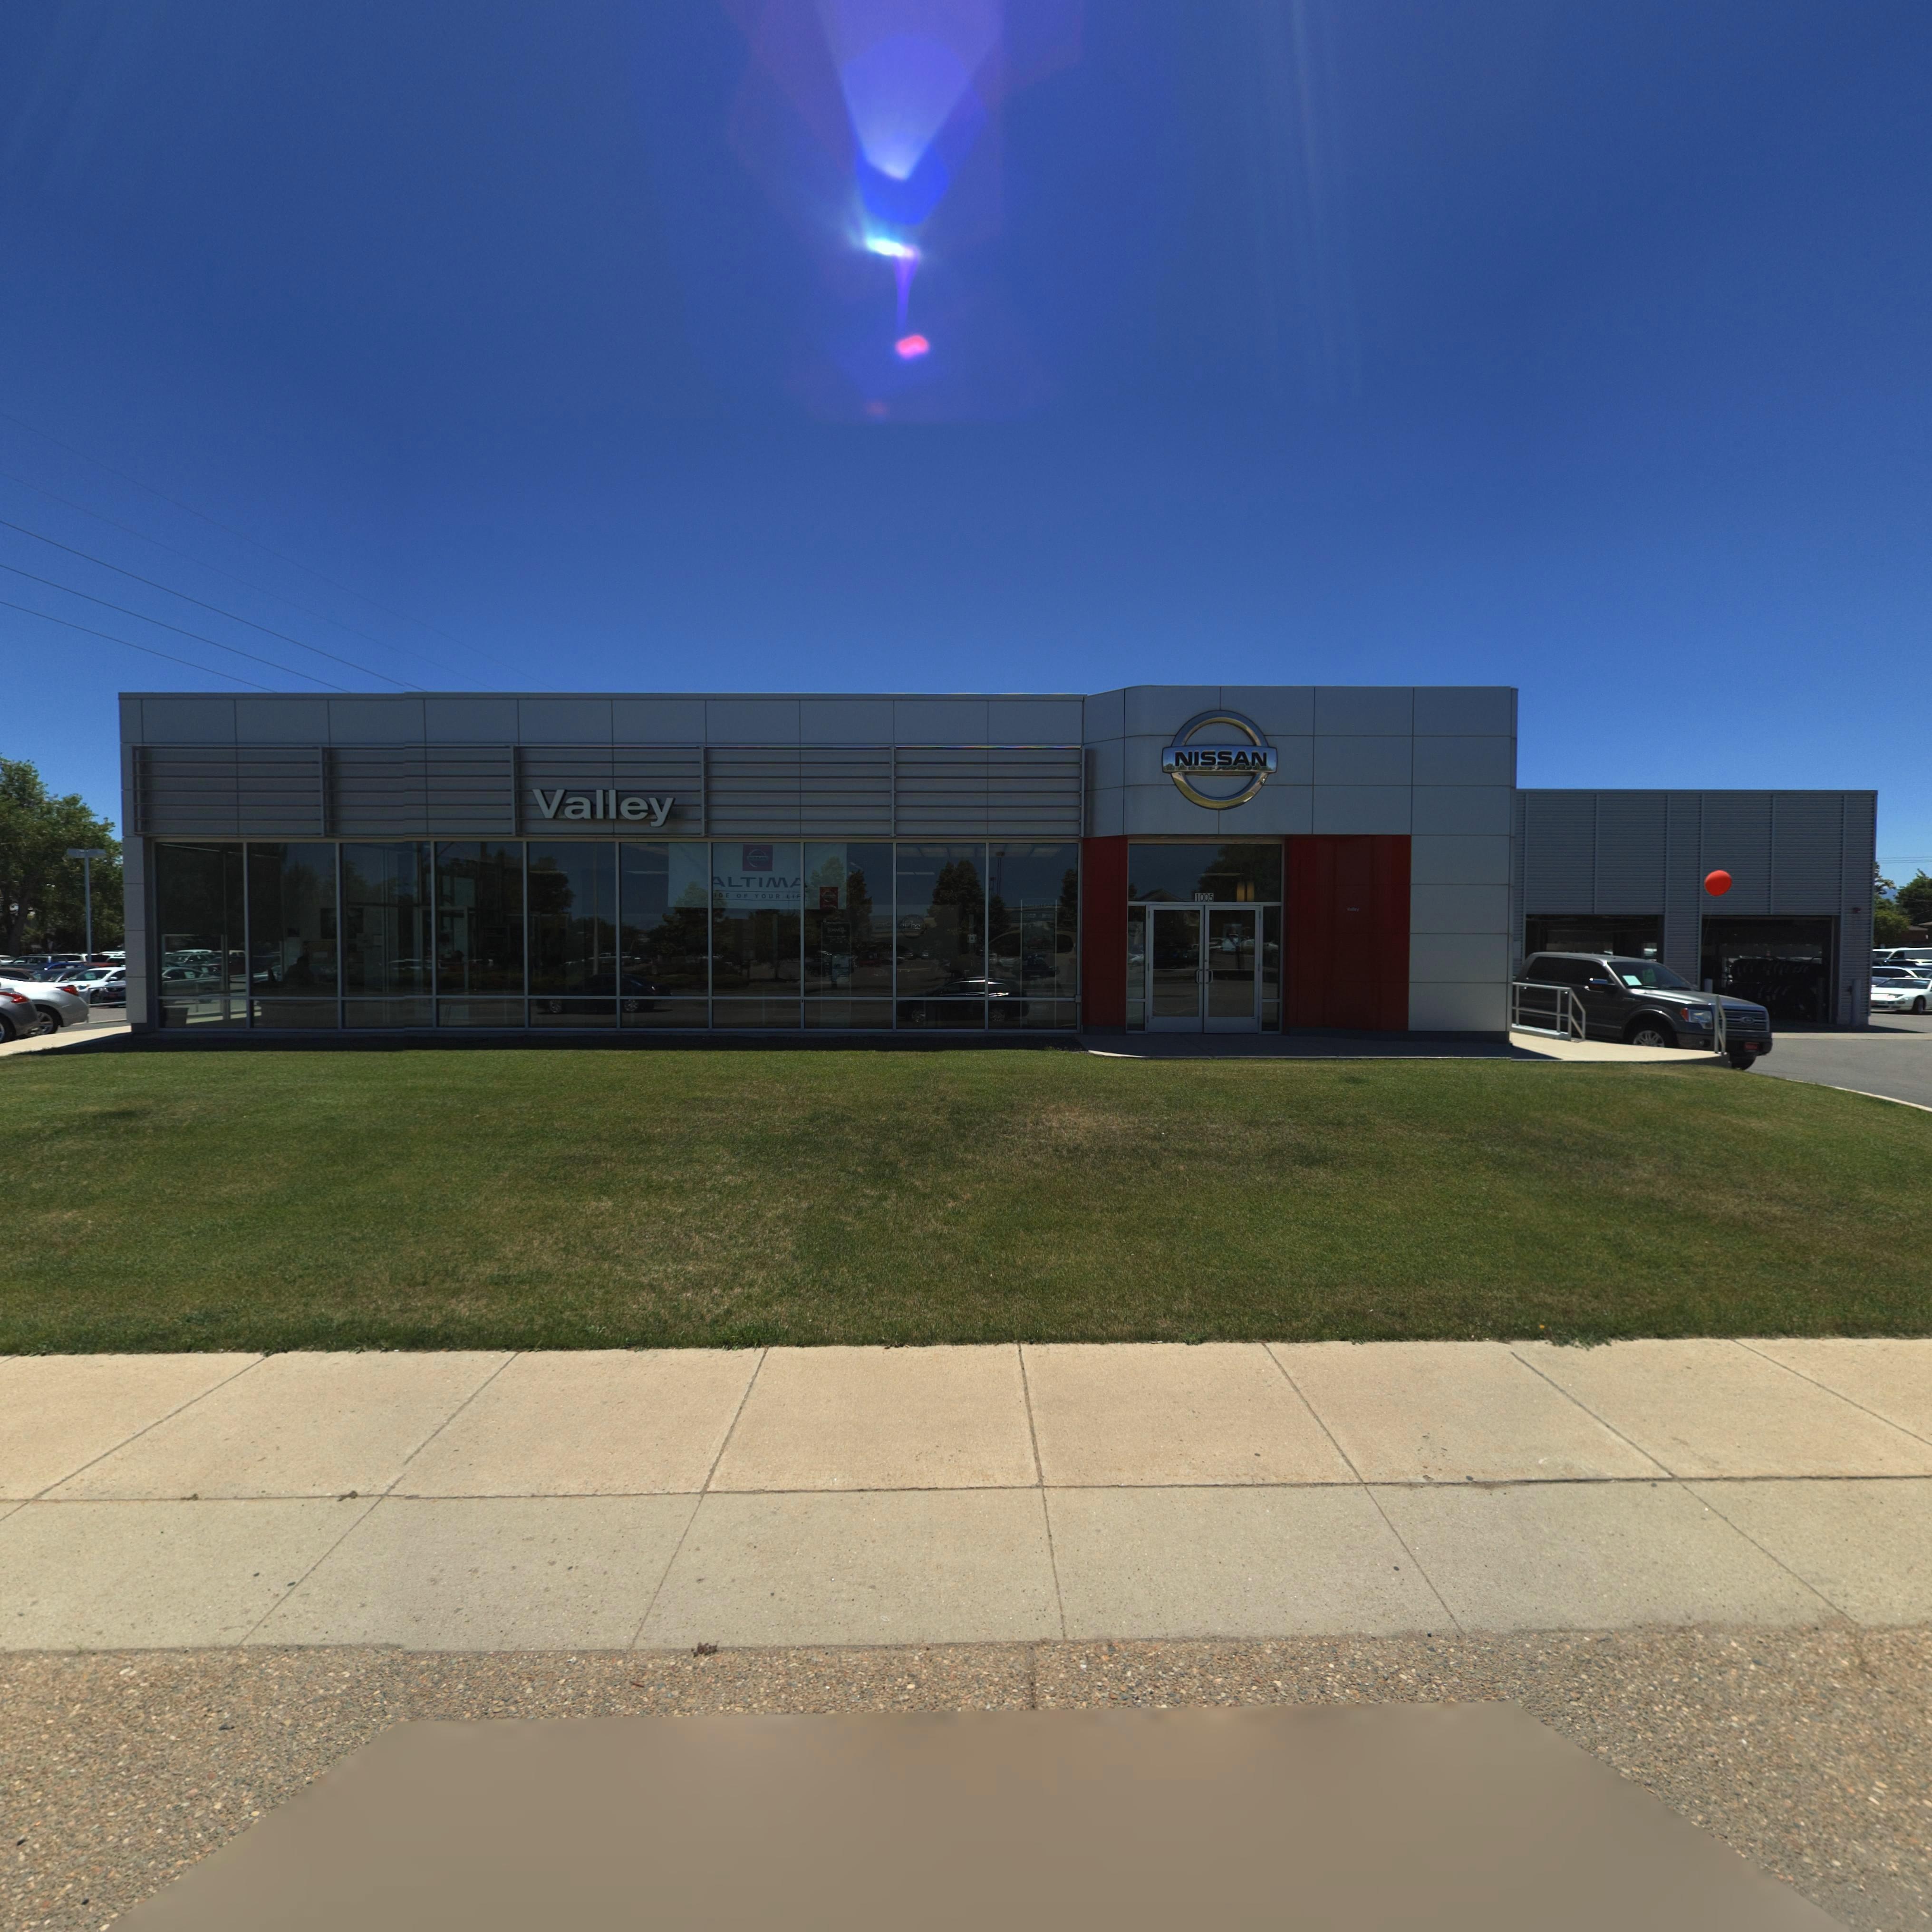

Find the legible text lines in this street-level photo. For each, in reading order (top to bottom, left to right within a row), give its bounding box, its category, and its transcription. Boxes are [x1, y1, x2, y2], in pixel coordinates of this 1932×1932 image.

[1173, 749, 1267, 768] BusinessName: NISSAN
[530, 787, 677, 828] BusinessName: Valley
[1196, 893, 1213, 902] StreetNumber: 1005
[1345, 907, 1360, 912] BusinessName: V***ey